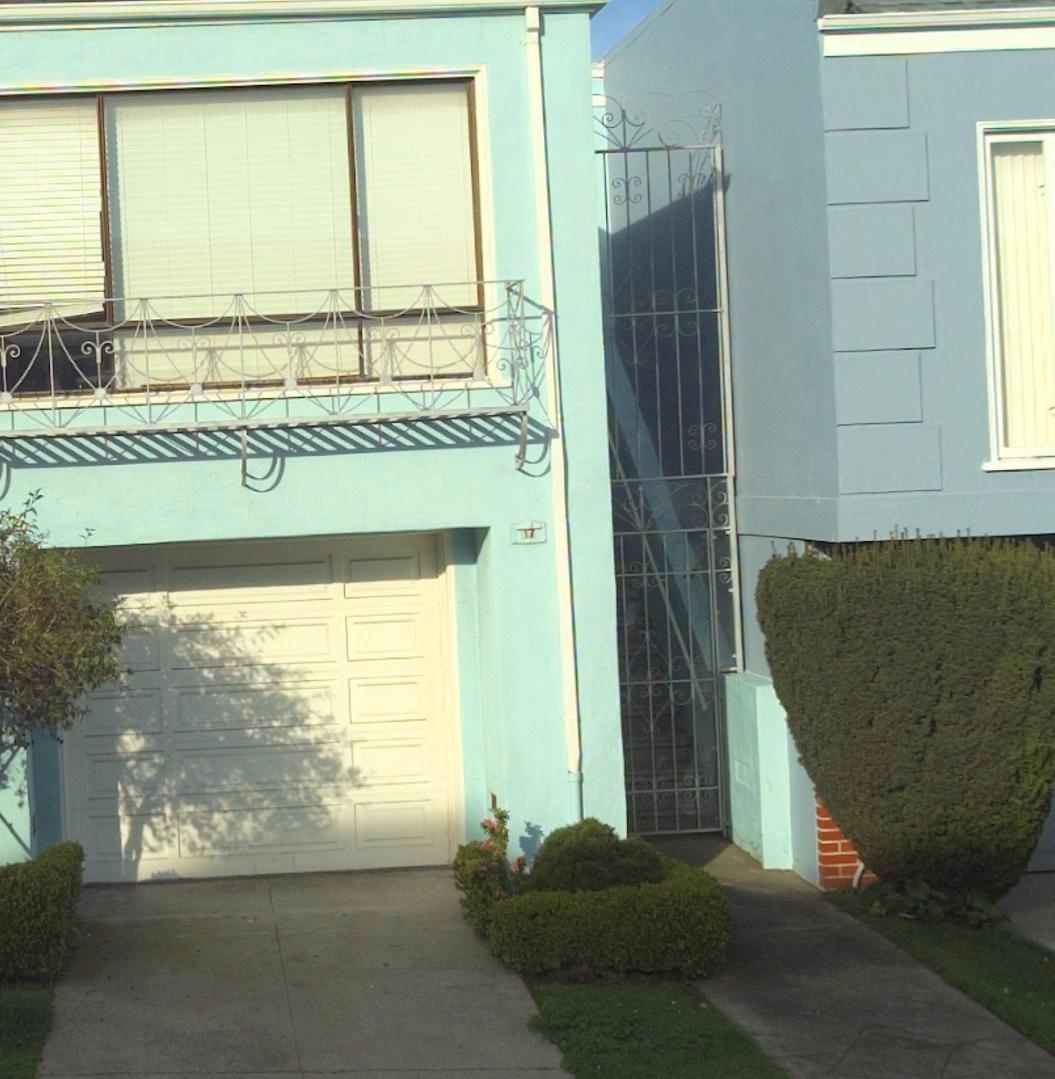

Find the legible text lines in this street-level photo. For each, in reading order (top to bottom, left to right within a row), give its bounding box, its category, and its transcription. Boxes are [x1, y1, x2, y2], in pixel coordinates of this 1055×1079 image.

[522, 526, 537, 541] StreetNumber: 17